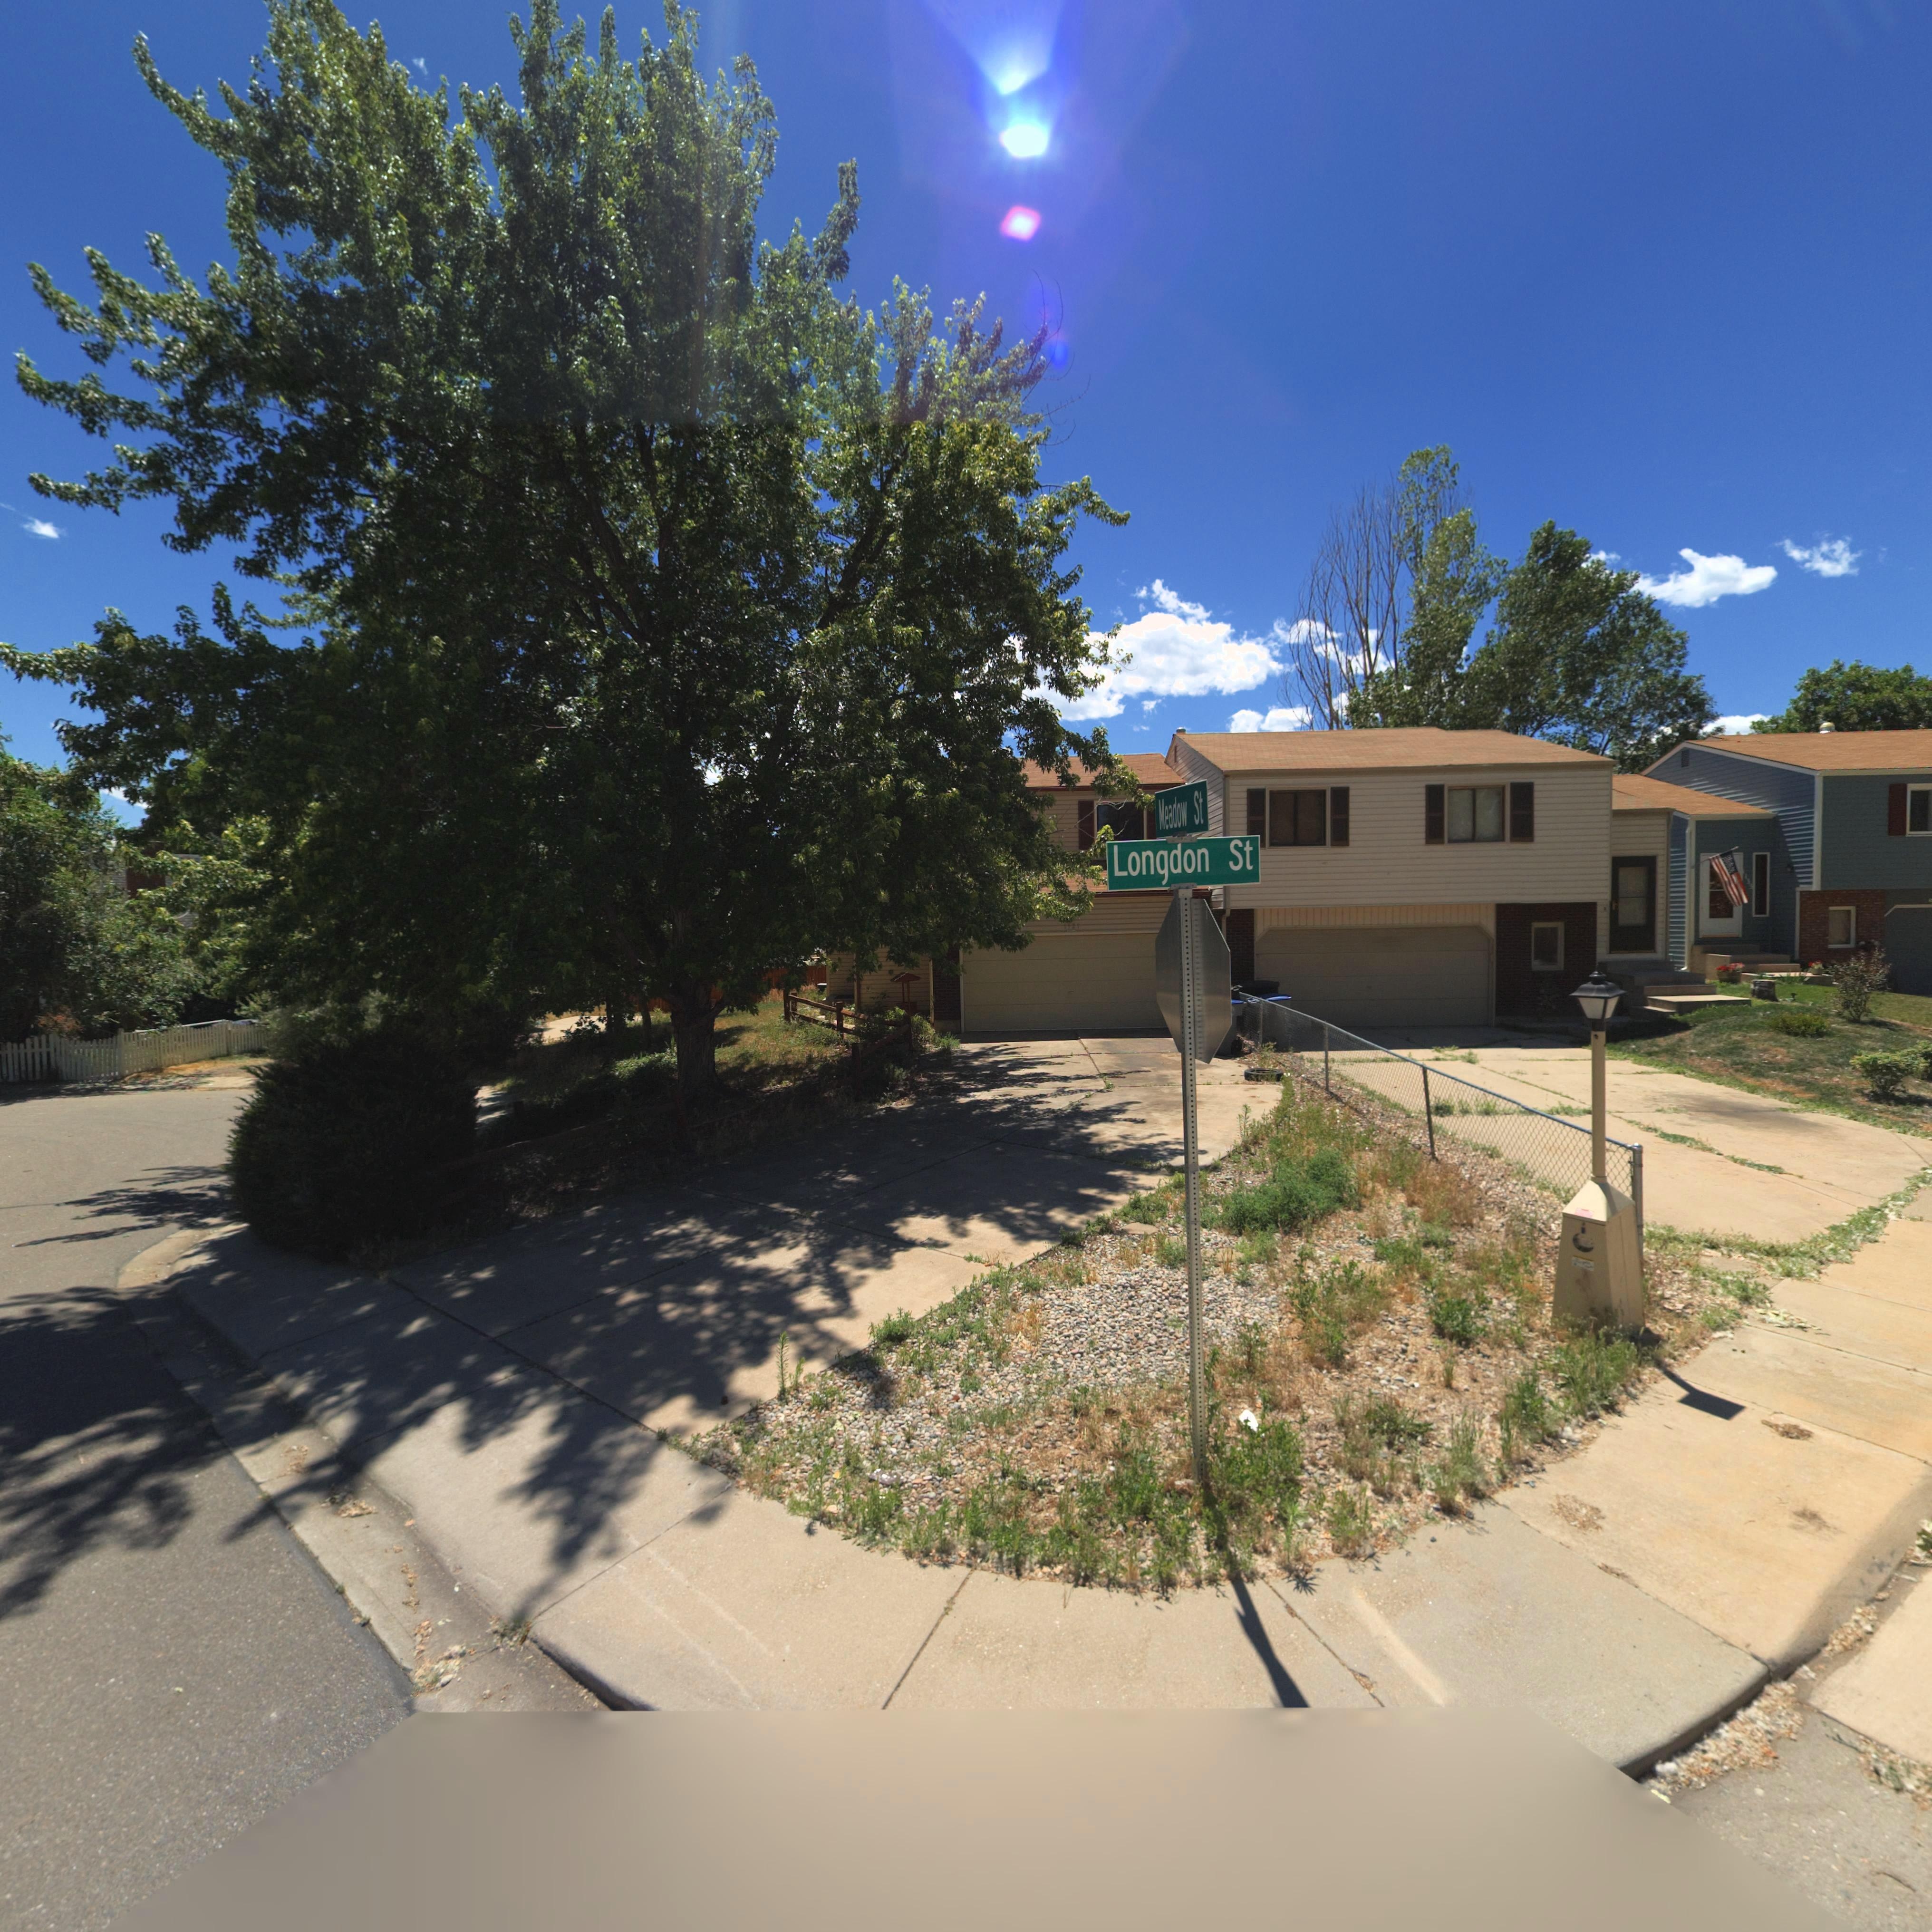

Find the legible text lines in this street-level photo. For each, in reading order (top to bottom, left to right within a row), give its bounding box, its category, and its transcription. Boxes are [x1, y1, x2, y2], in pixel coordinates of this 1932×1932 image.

[1158, 790, 1204, 831] StreetName: Meadow St
[1113, 839, 1253, 886] BusinessName: Longdon St
[1744, 872, 1754, 889] StreetNumber: 155